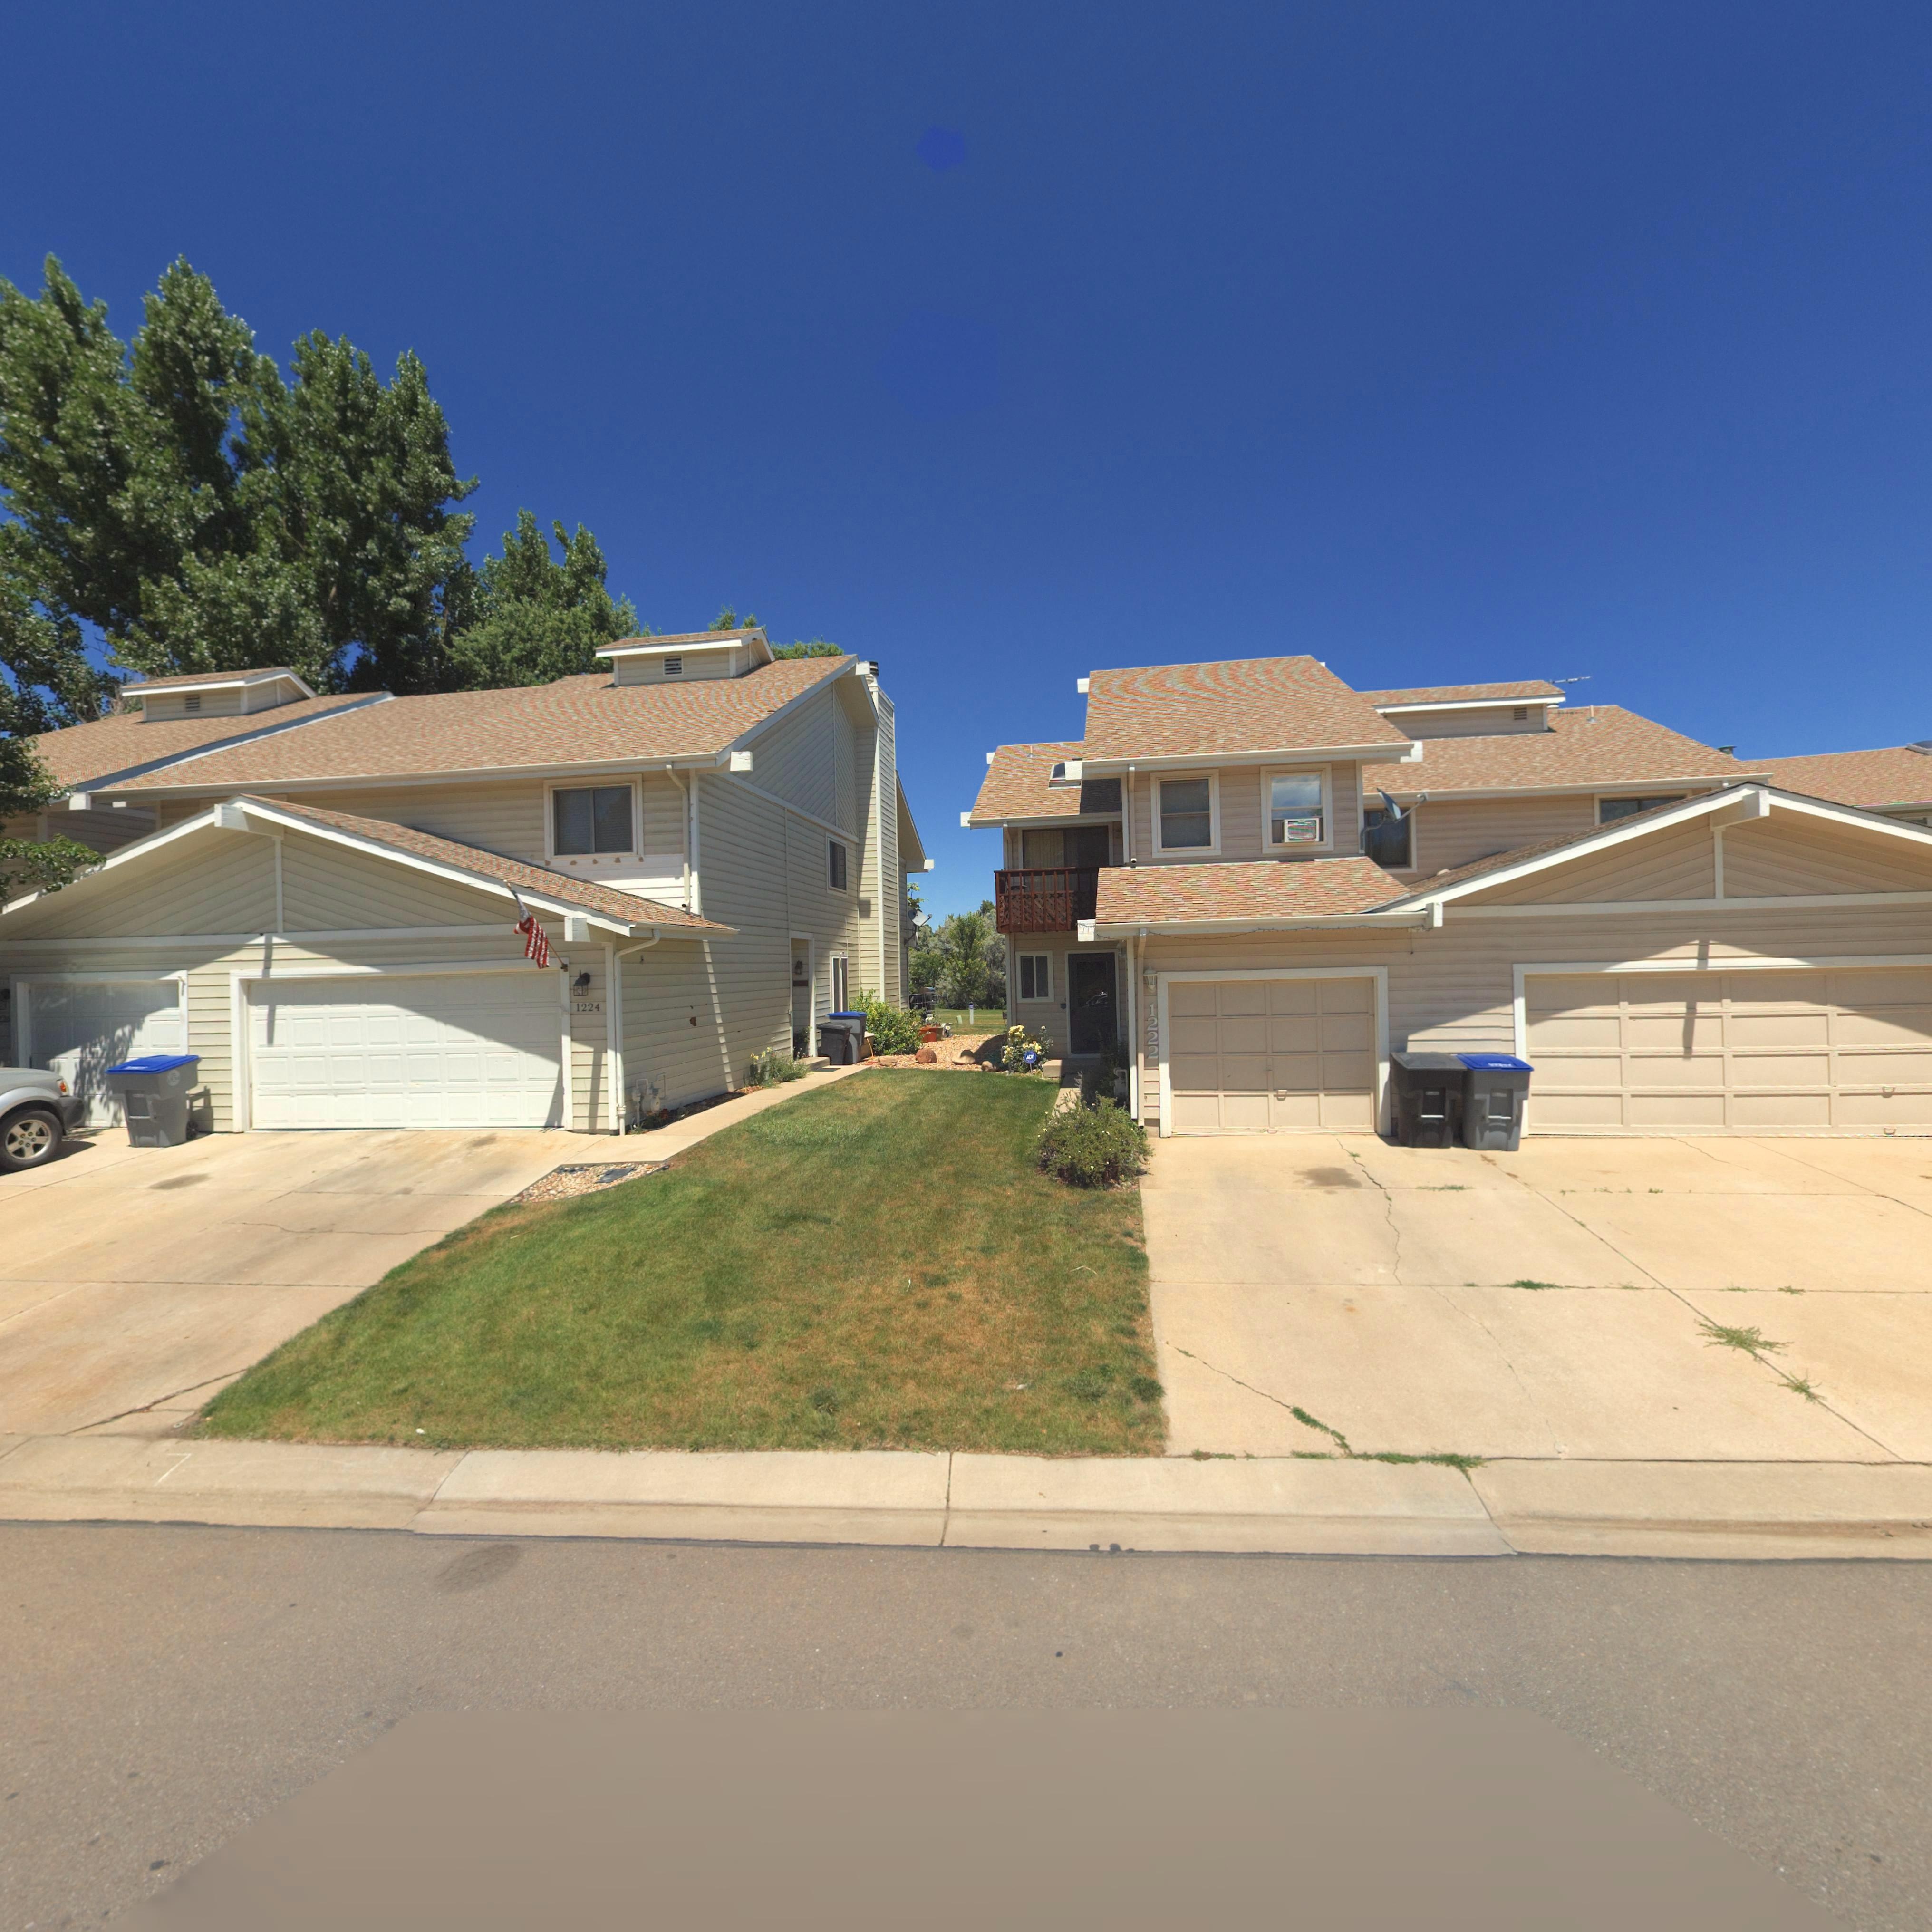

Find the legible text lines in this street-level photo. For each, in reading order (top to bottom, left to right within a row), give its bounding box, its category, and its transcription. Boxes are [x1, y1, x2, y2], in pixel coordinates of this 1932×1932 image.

[576, 1003, 600, 1012] StreetNumber: 1224
[1146, 1001, 1159, 1059] StreetNumber: 1222